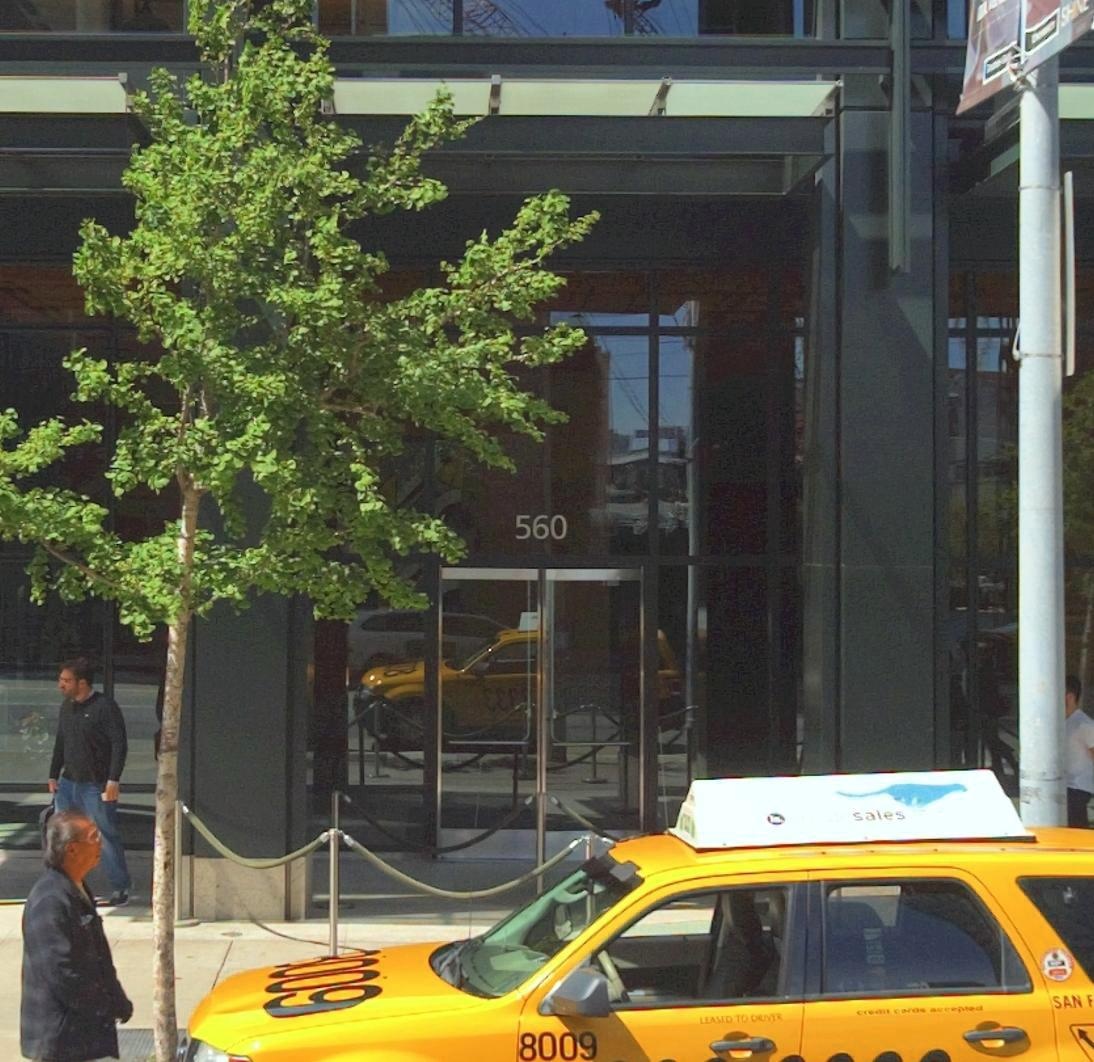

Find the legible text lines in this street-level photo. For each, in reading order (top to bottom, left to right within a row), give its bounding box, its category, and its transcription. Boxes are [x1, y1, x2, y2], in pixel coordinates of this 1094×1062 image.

[512, 512, 569, 542] StreetNumber: 560
[848, 808, 908, 824] None: sales
[261, 955, 387, 1025] None: 009
[1051, 994, 1087, 1010] None: SAN
[696, 1010, 787, 1027] None: LEASED TO DRIVER
[517, 1029, 597, 1061] None: 8009